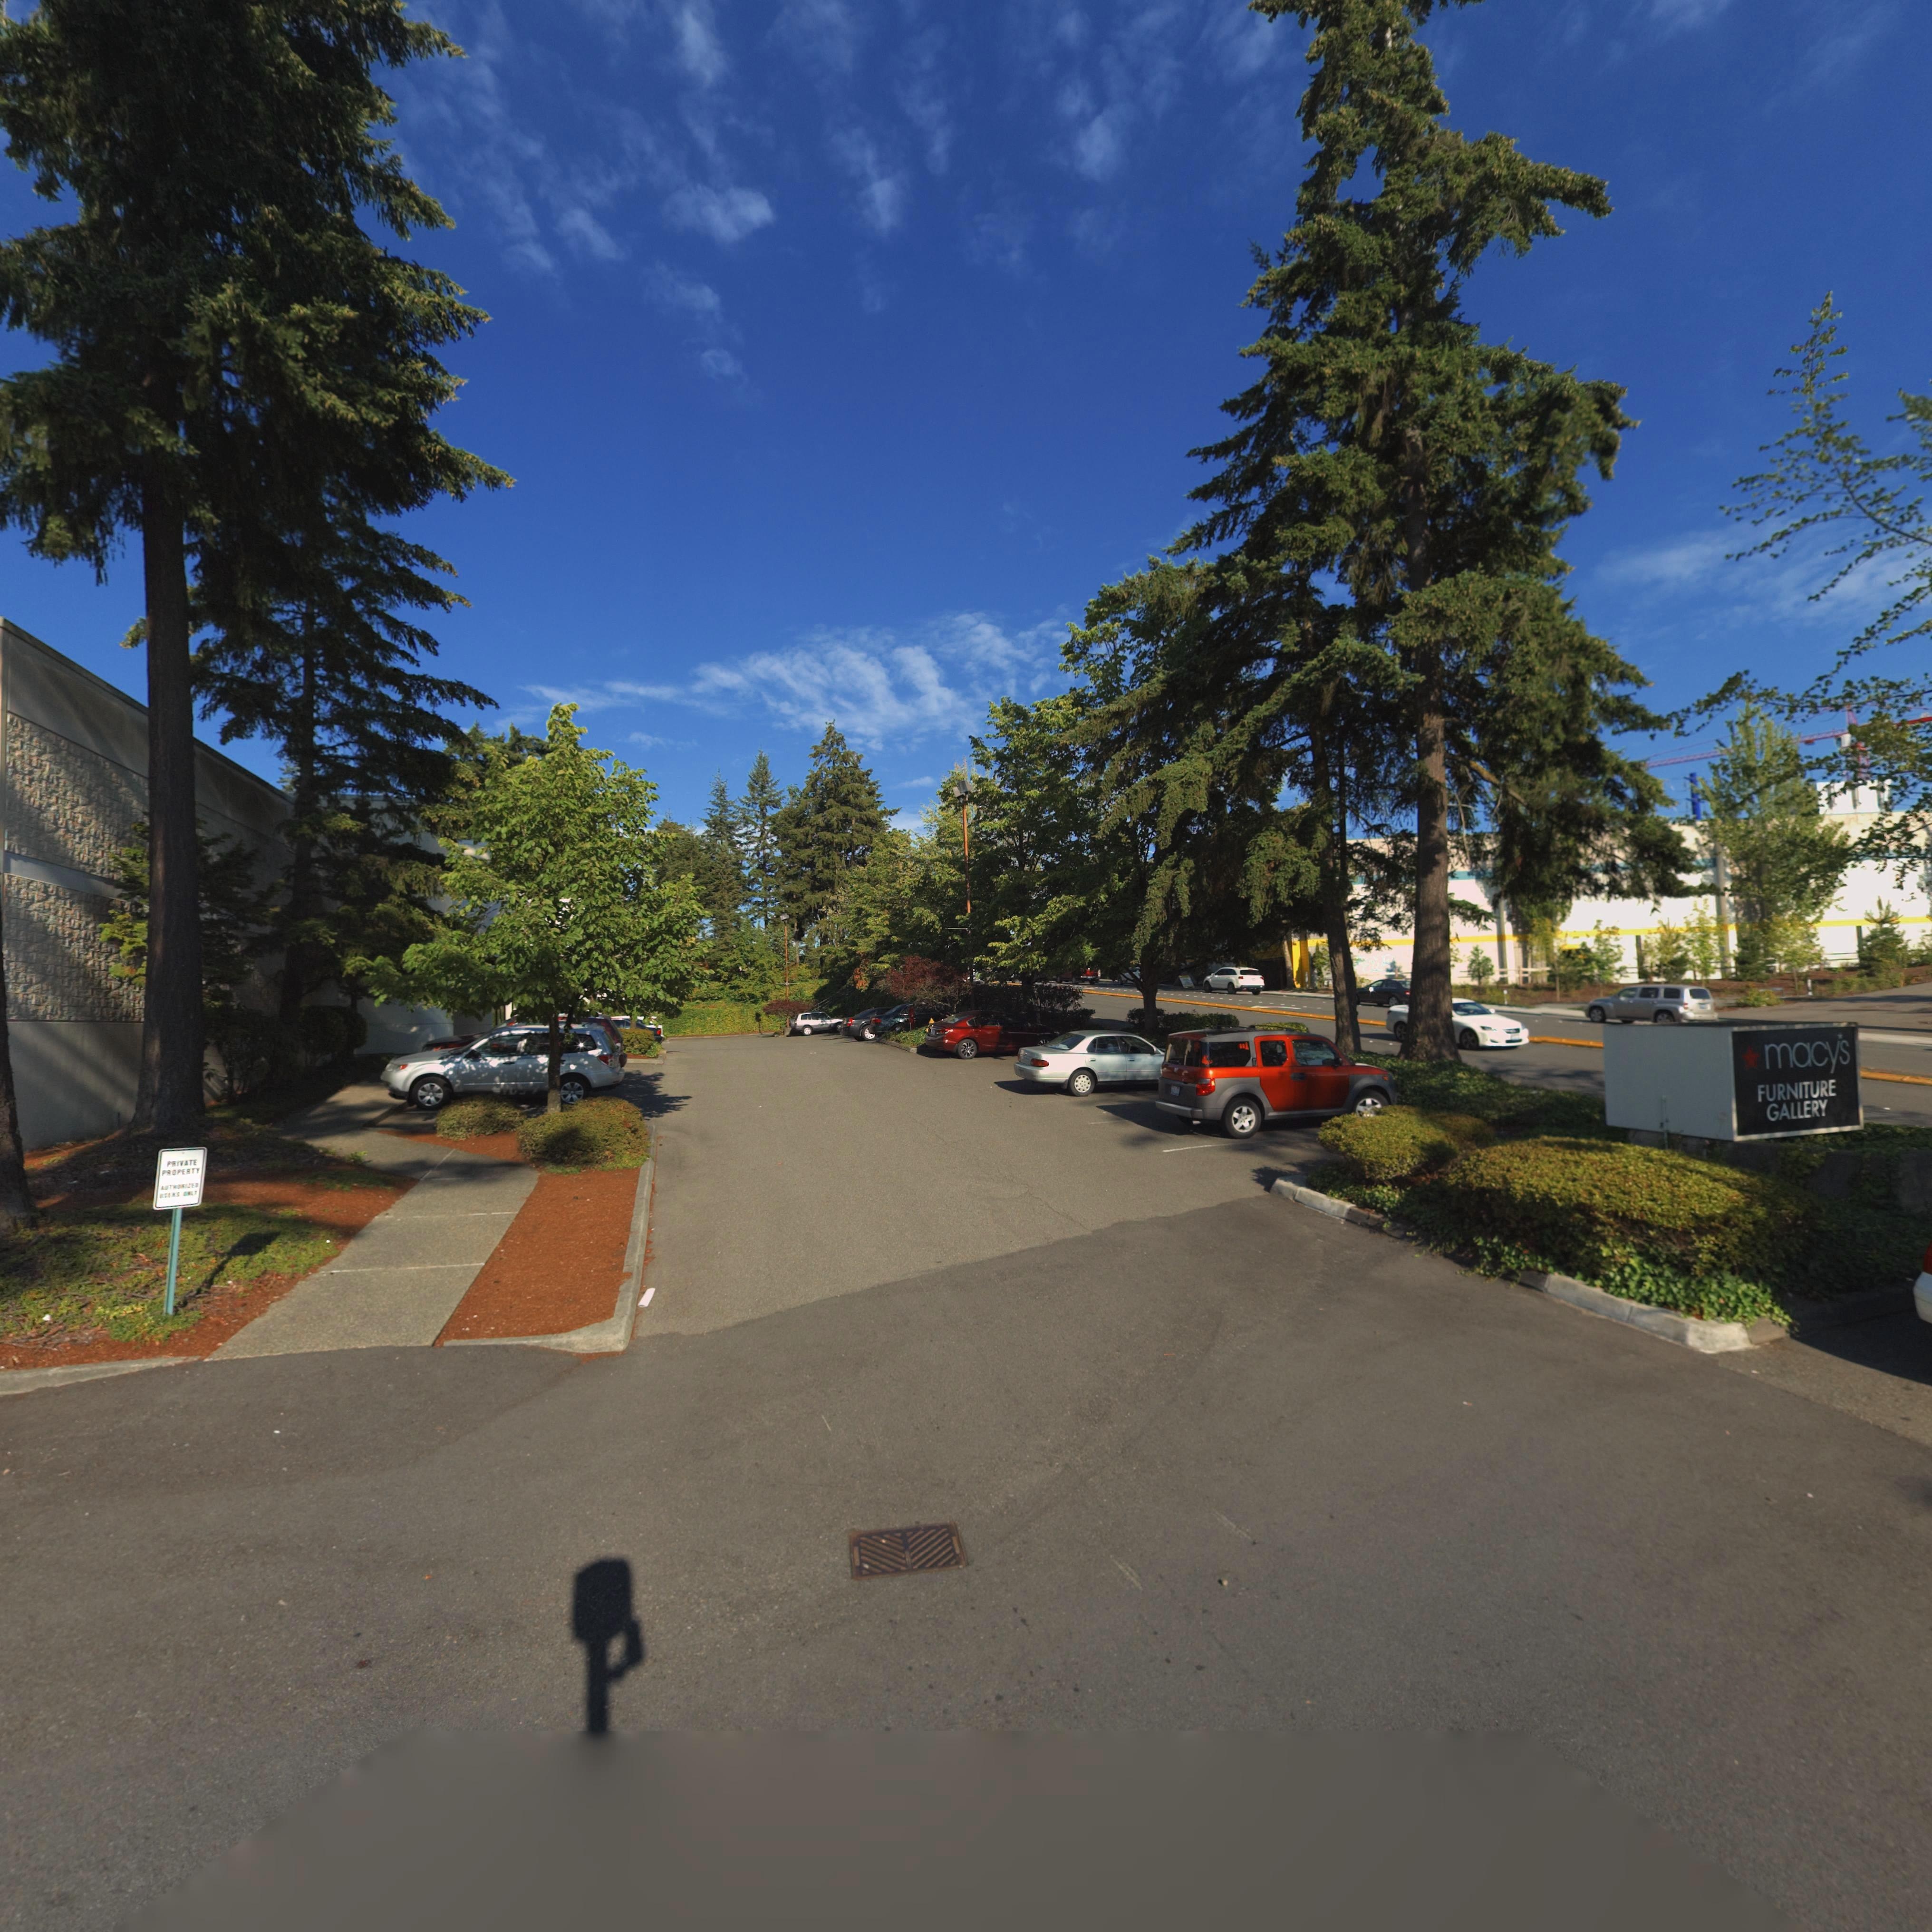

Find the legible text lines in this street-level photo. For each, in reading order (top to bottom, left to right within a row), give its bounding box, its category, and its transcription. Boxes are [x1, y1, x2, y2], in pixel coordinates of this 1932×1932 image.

[1764, 1040, 1850, 1074] BusinessName: macys
[1757, 1079, 1836, 1102] BusinessName: FURNITURE
[1767, 1100, 1827, 1121] BusinessName: GALLERY